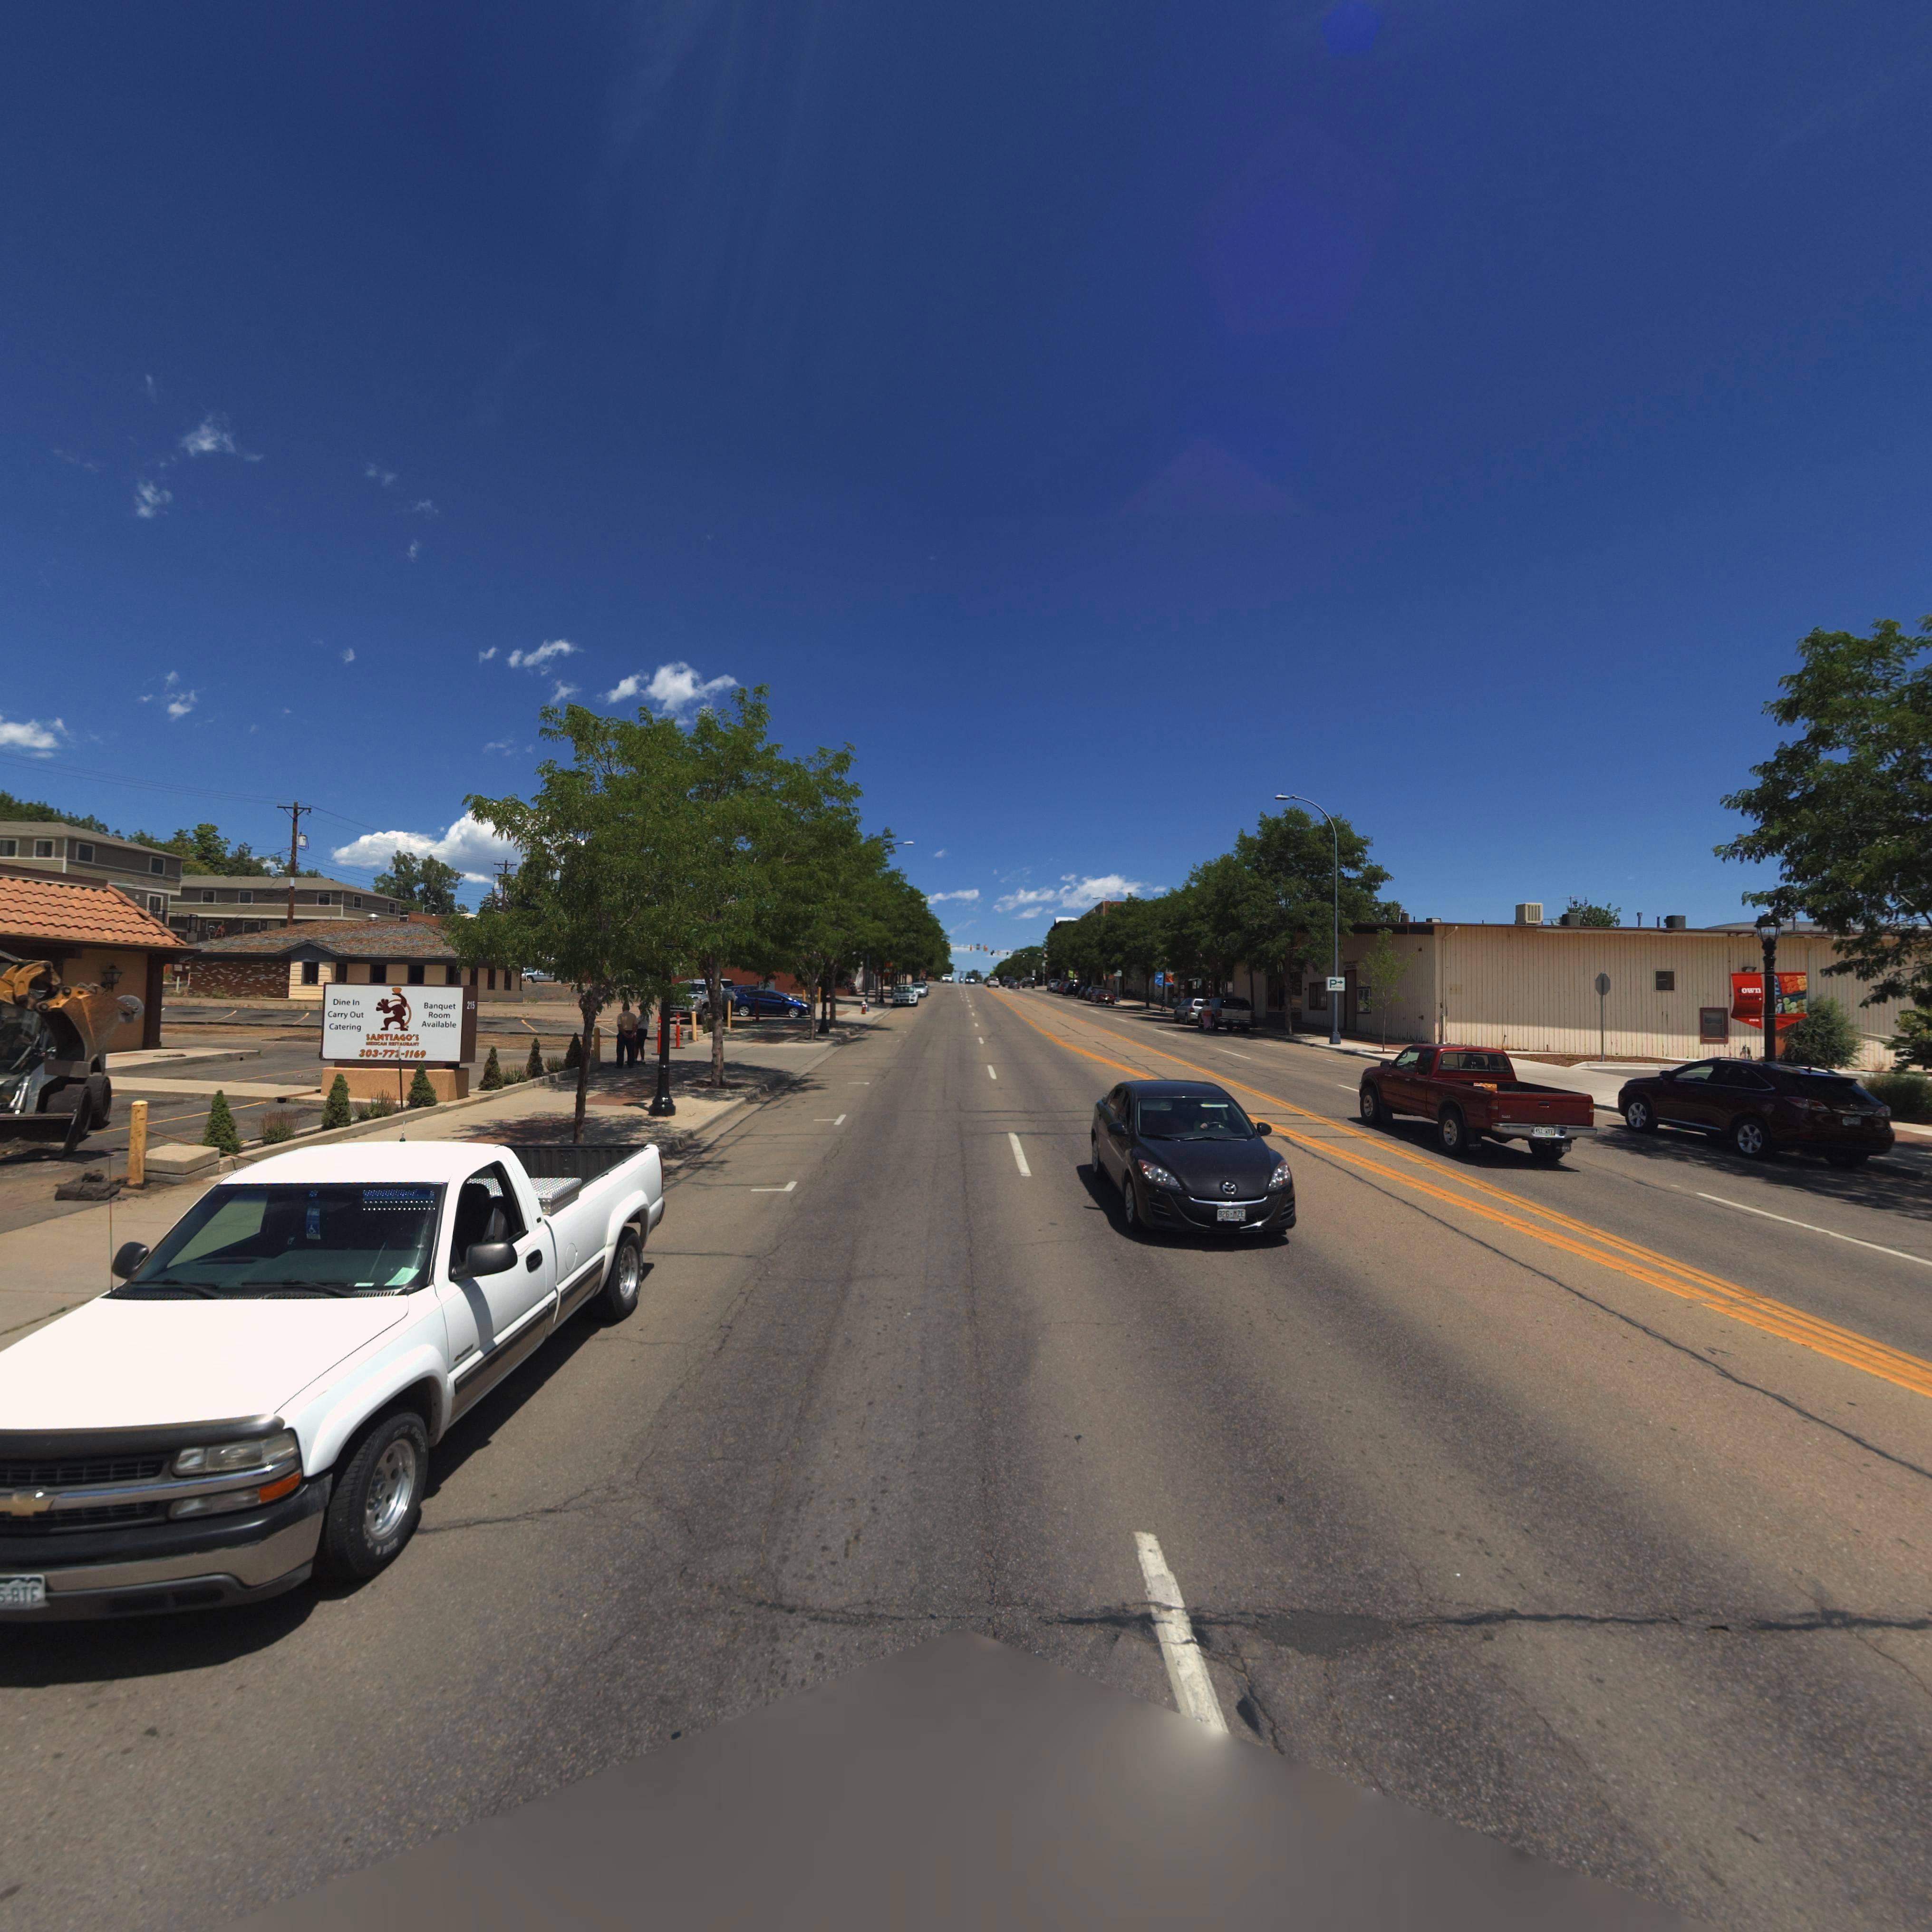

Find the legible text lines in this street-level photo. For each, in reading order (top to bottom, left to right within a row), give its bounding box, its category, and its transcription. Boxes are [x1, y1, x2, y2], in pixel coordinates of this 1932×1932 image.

[466, 1000, 475, 1010] StreetNumber: 215
[366, 1033, 419, 1041] BusinessName: SANTIAGO'S